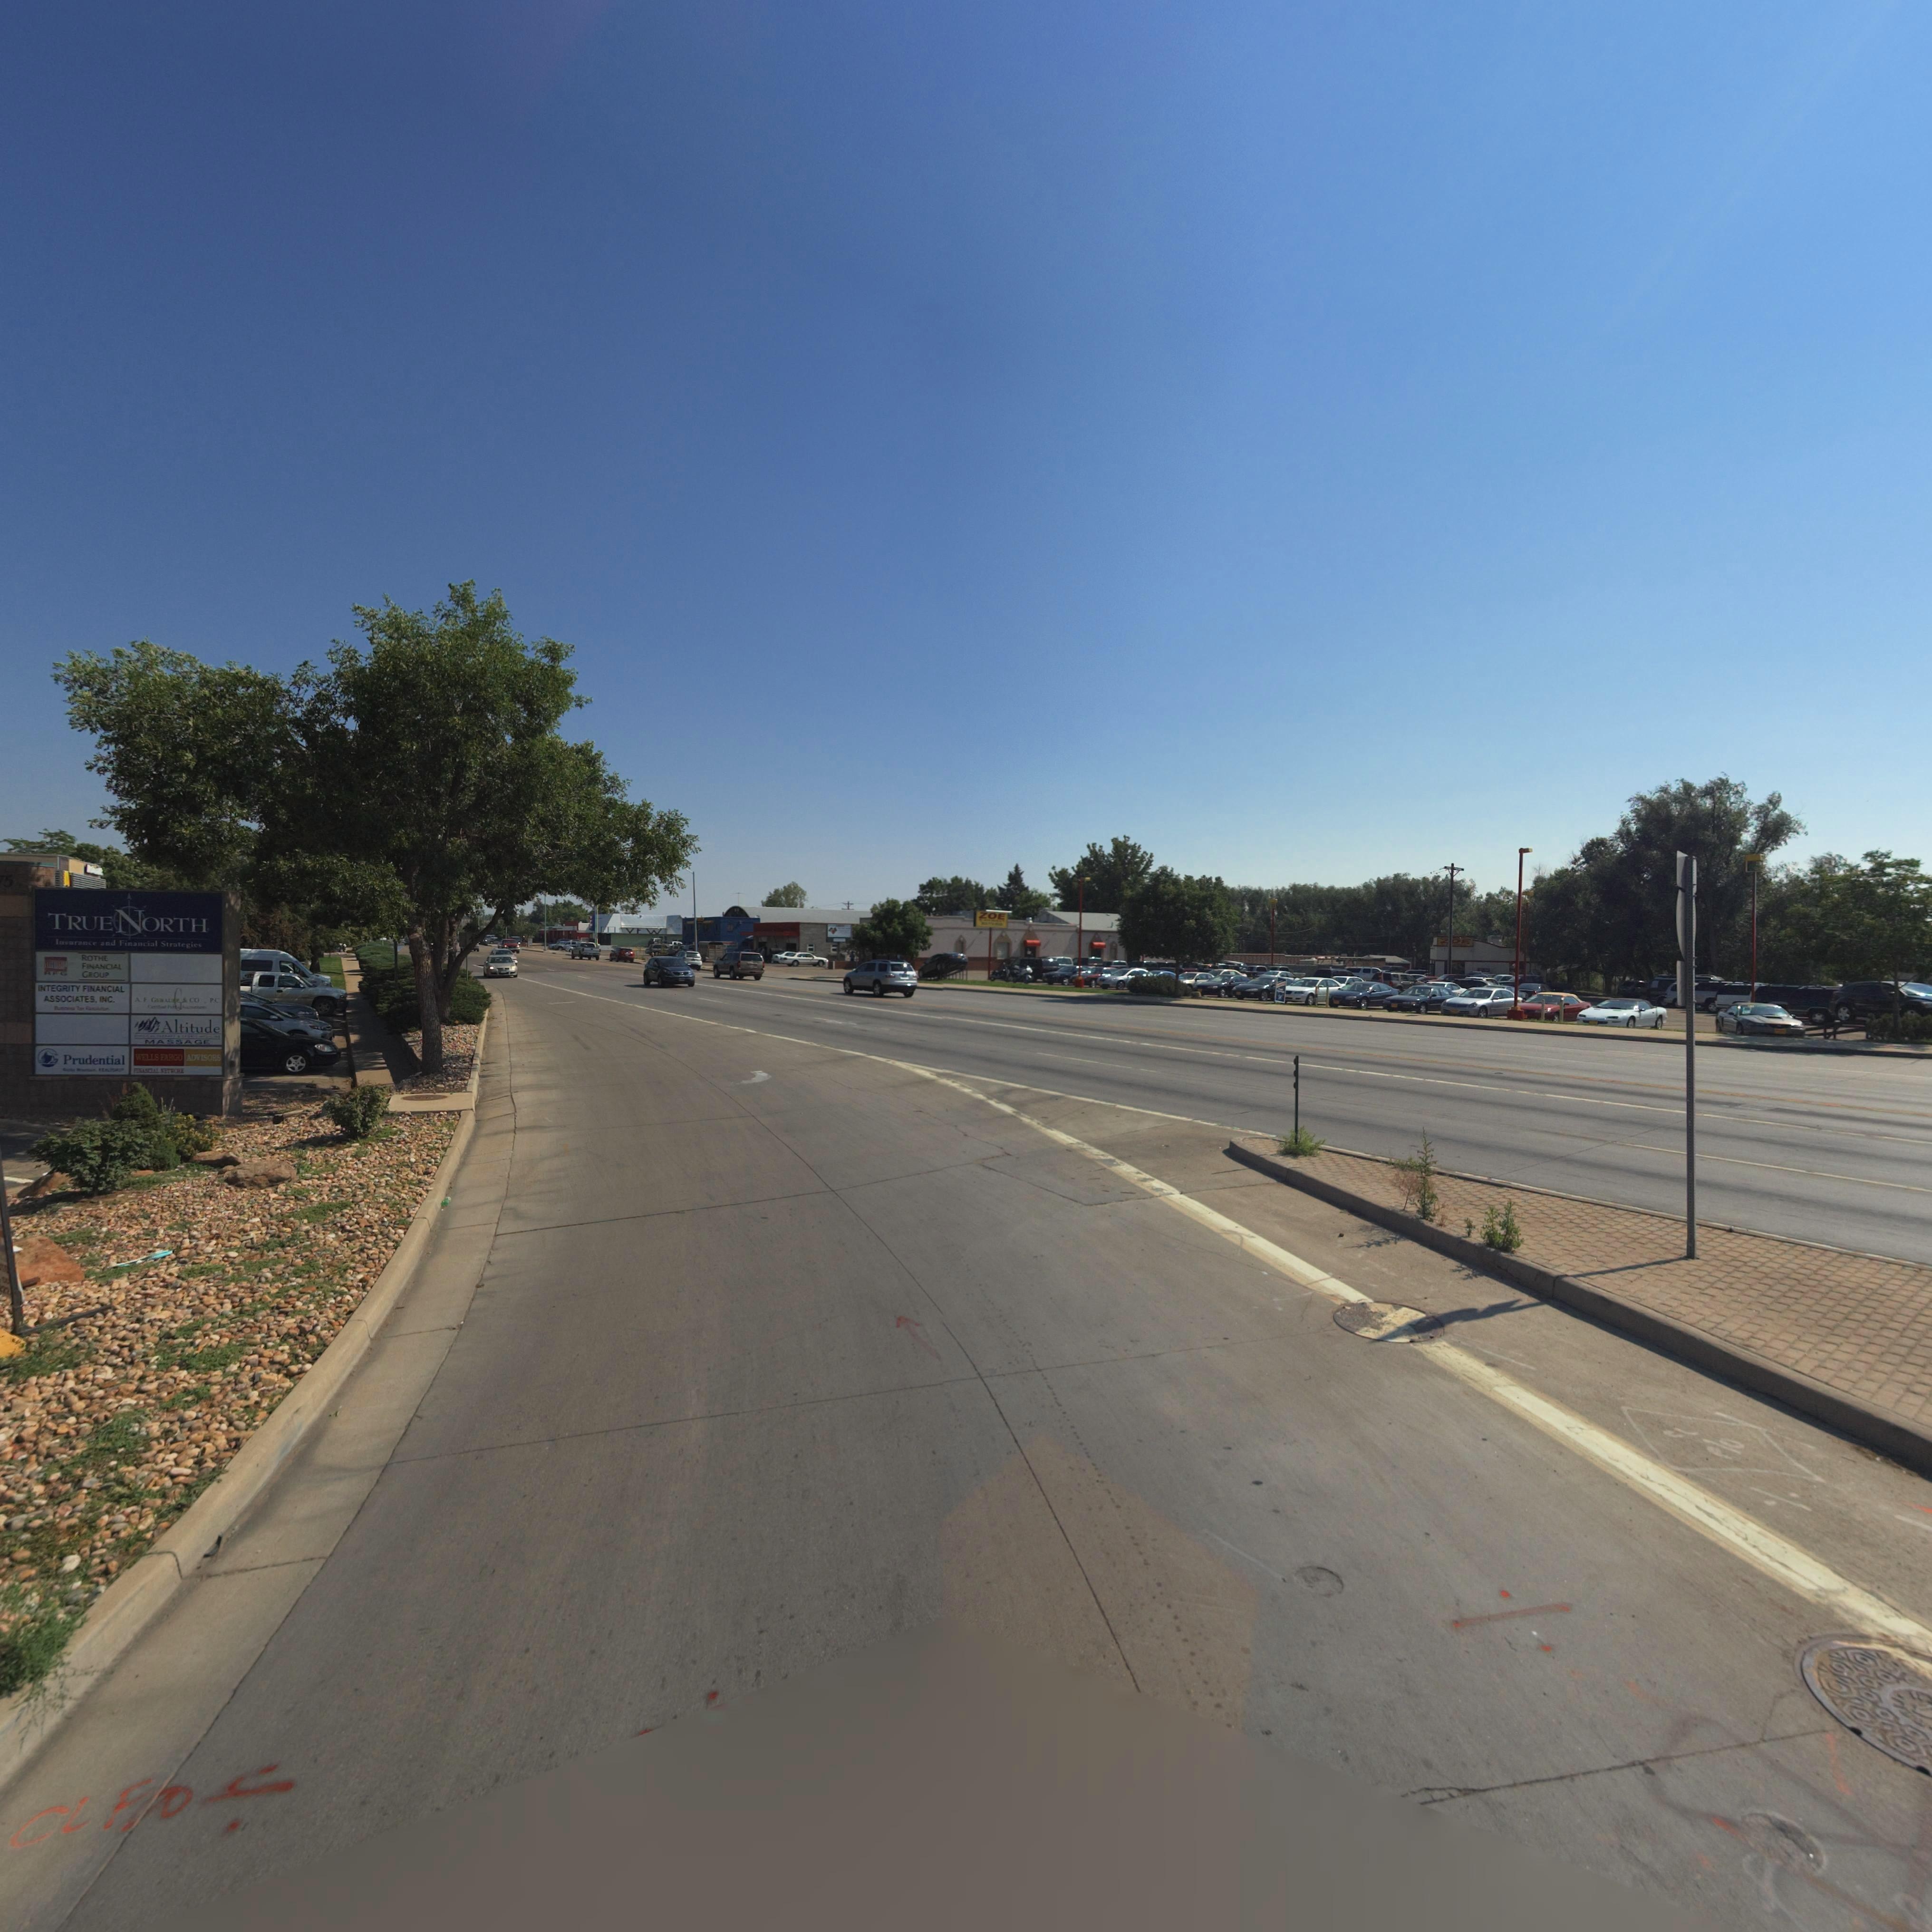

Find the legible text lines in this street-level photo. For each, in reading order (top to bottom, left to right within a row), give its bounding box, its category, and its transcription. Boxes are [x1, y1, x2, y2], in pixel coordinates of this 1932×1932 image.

[86, 863, 105, 876] BusinessName: McDon**
[978, 911, 1005, 920] BusinessName: ZOE
[47, 908, 208, 934] BusinessName: TRUENORTH
[589, 915, 592, 927] BusinessName: VFW
[984, 918, 999, 922] BusinessName: AUTO SALES
[625, 927, 662, 934] BusinessName: VFW
[1439, 937, 1471, 944] BusinessName: ZOE
[81, 954, 108, 961] BusinessName: ROTHE
[82, 962, 122, 970] BusinessName: FINANCIAL
[44, 971, 68, 976] BusinessName: RFG
[81, 971, 109, 978] BusinessName: GROUP
[37, 984, 125, 992] BusinessName: INTEGRITY FINANCIAL
[43, 995, 115, 1003] BusinessName: ASSOCIATES, INC.
[133, 996, 221, 1003] BusinessName: A. F. GEBAUER & .. CO
[161, 1018, 220, 1033] BusinessName: Altitude
[145, 1039, 210, 1044] BusinessName: MASSAGE
[63, 1054, 126, 1065] BusinessName: Prudential
[135, 1053, 221, 1062] BusinessName: WELLS FARGO ADVISORS